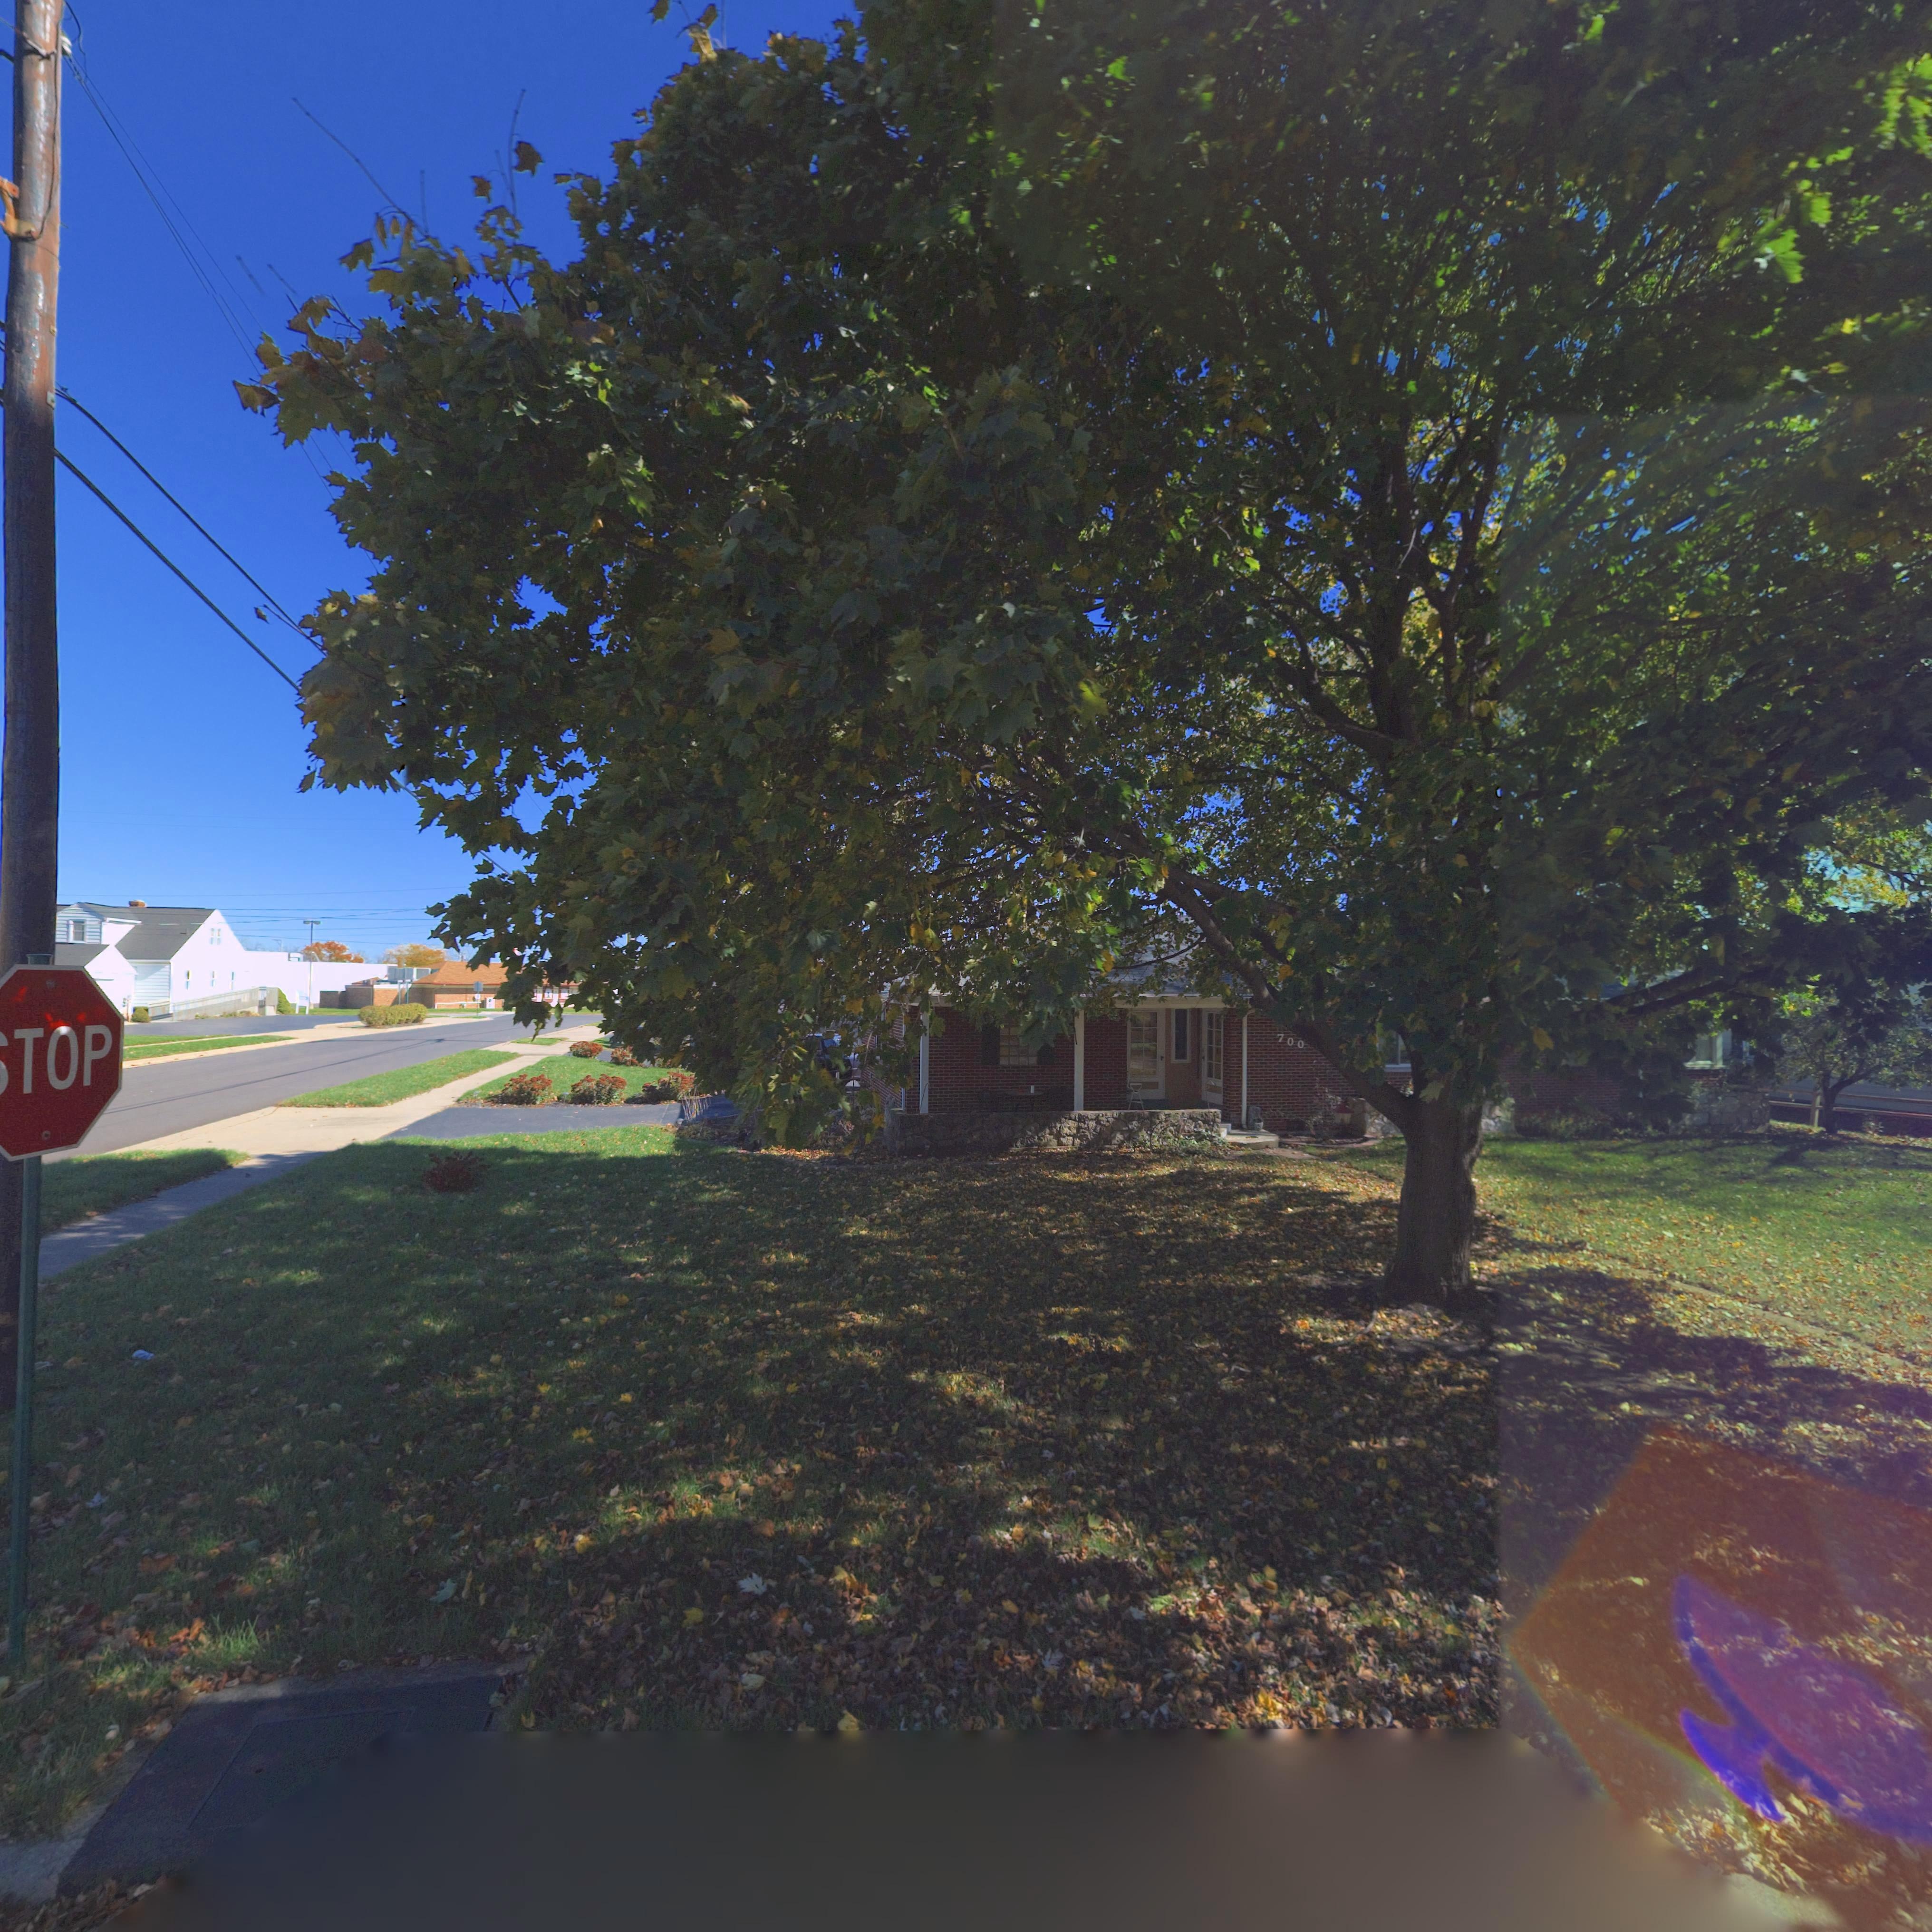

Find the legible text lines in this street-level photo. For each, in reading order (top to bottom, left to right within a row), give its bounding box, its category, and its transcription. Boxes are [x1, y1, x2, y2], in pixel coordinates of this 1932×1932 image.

[1276, 1034, 1305, 1049] StreetNumber: 700